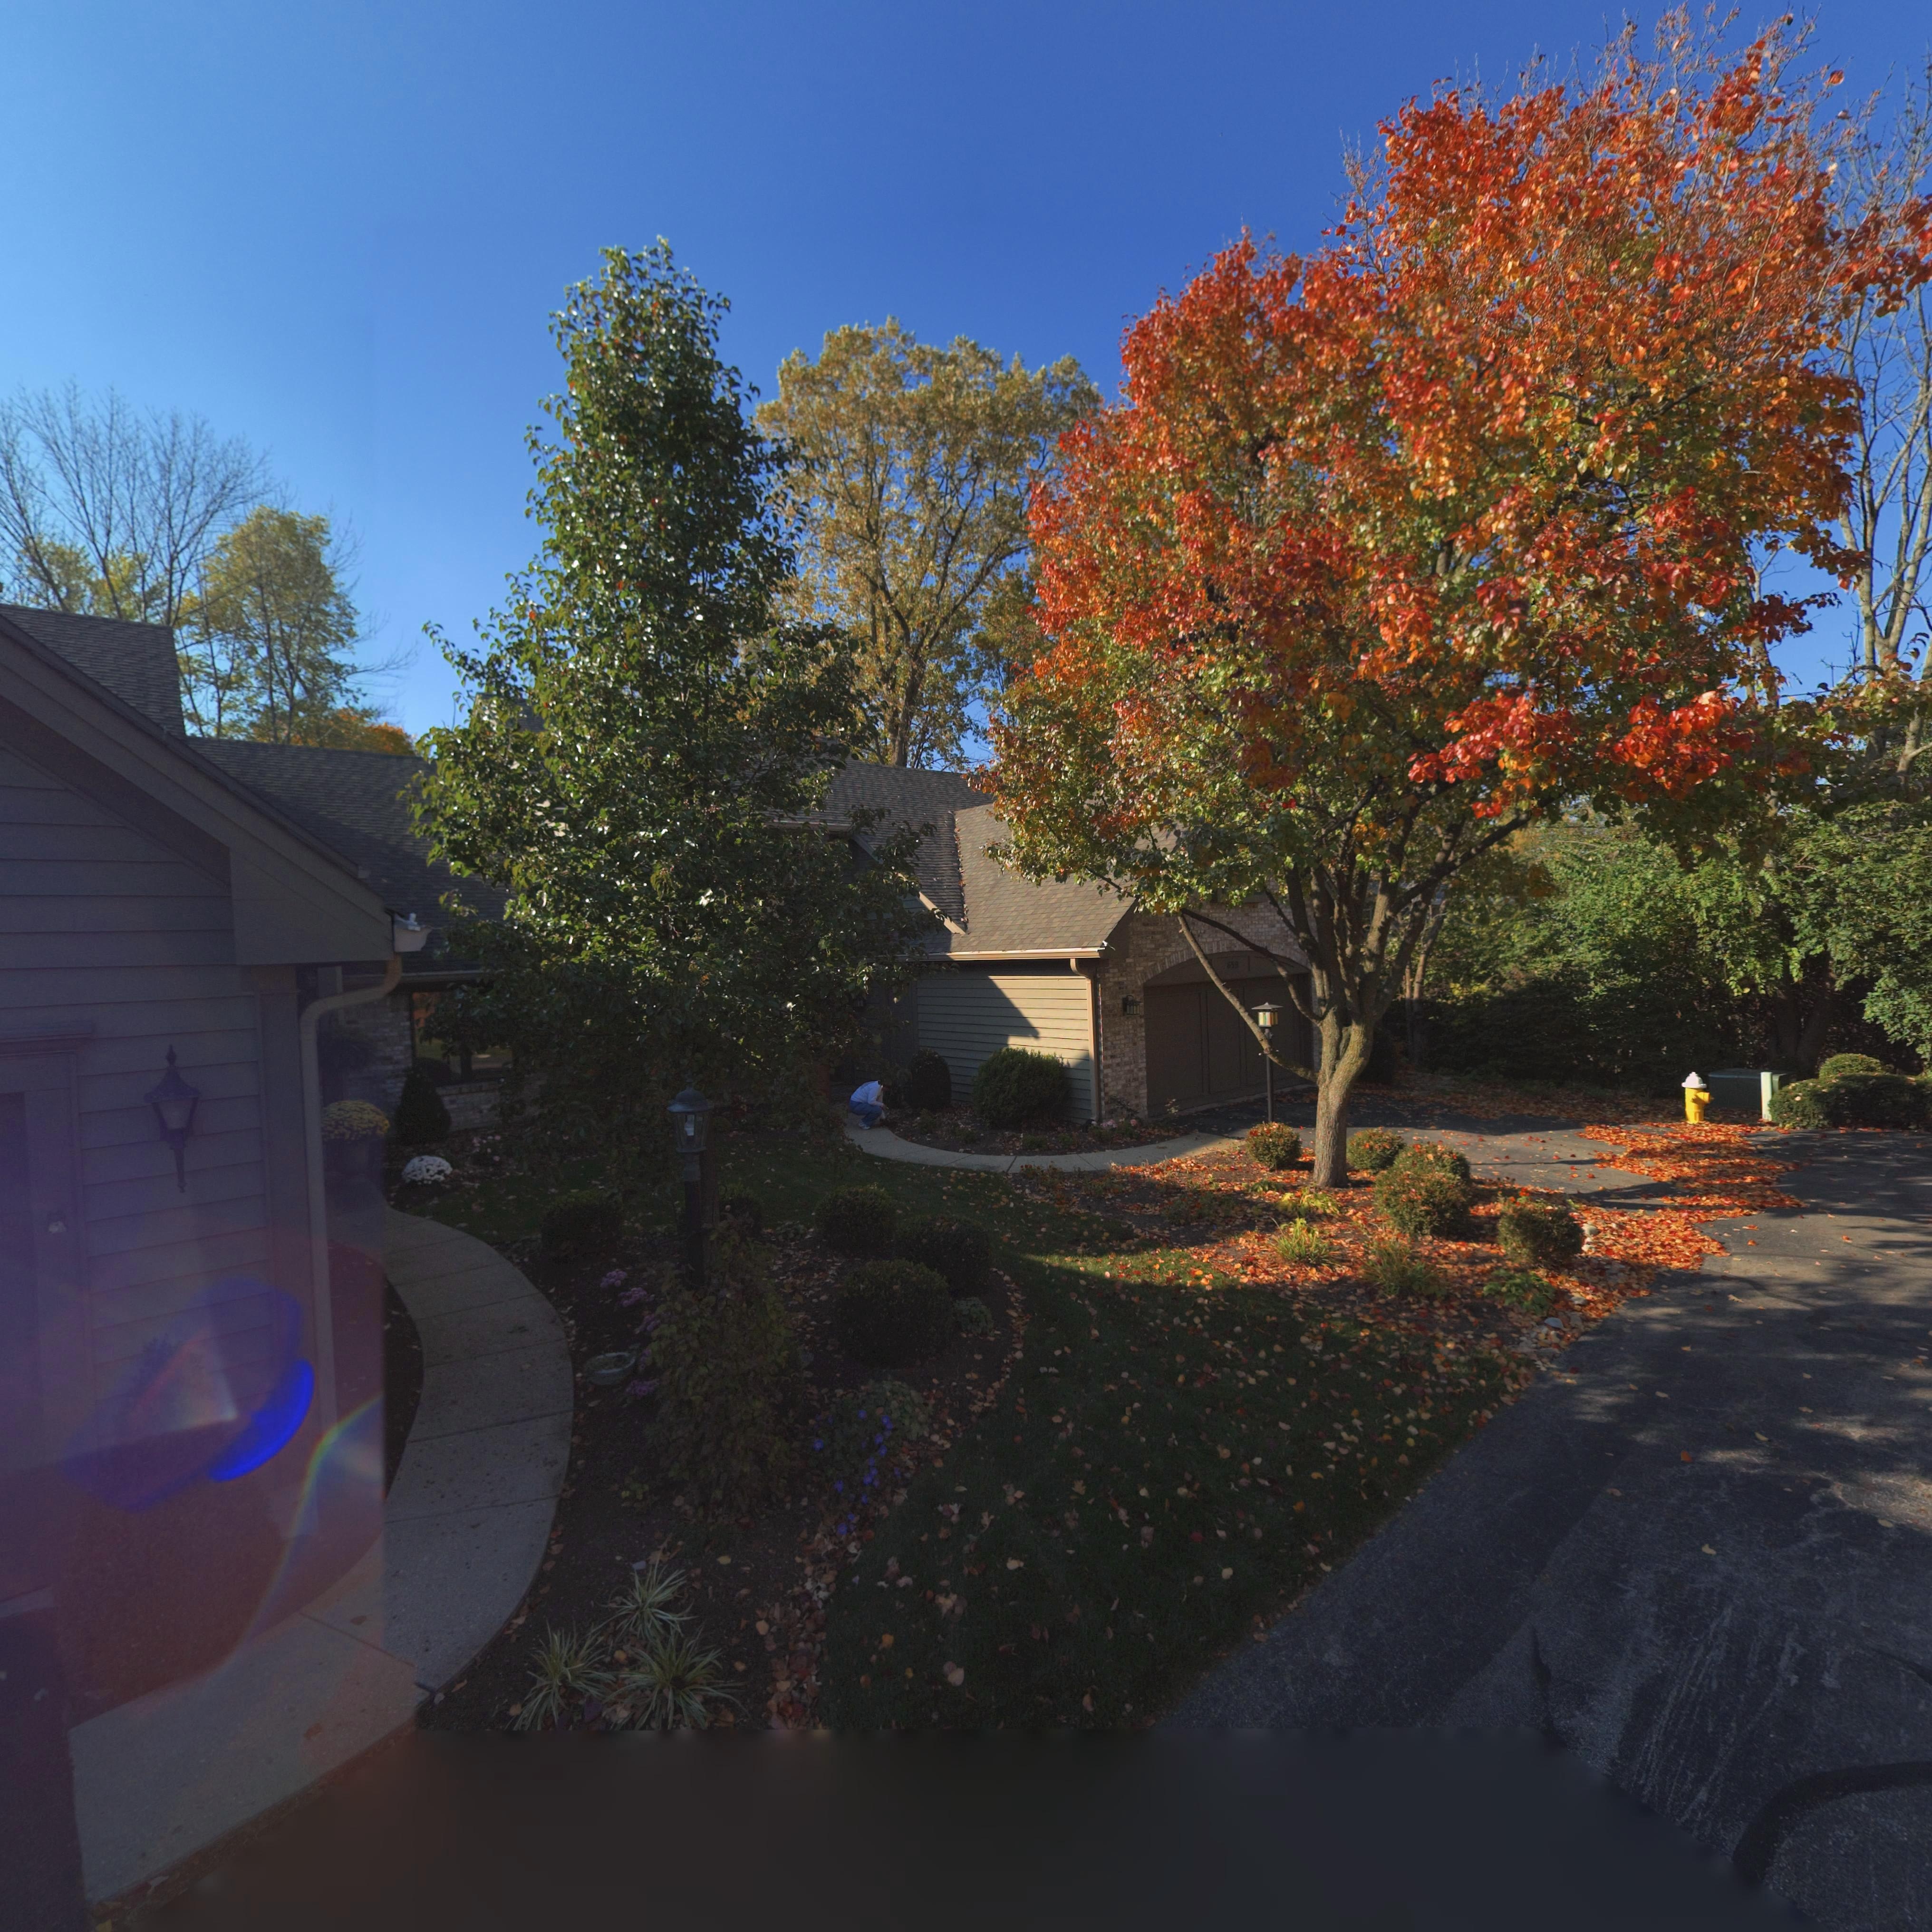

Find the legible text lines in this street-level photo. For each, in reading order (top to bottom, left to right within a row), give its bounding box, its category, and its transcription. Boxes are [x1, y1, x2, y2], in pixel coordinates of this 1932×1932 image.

[1227, 960, 1240, 969] StreetNumber: 659